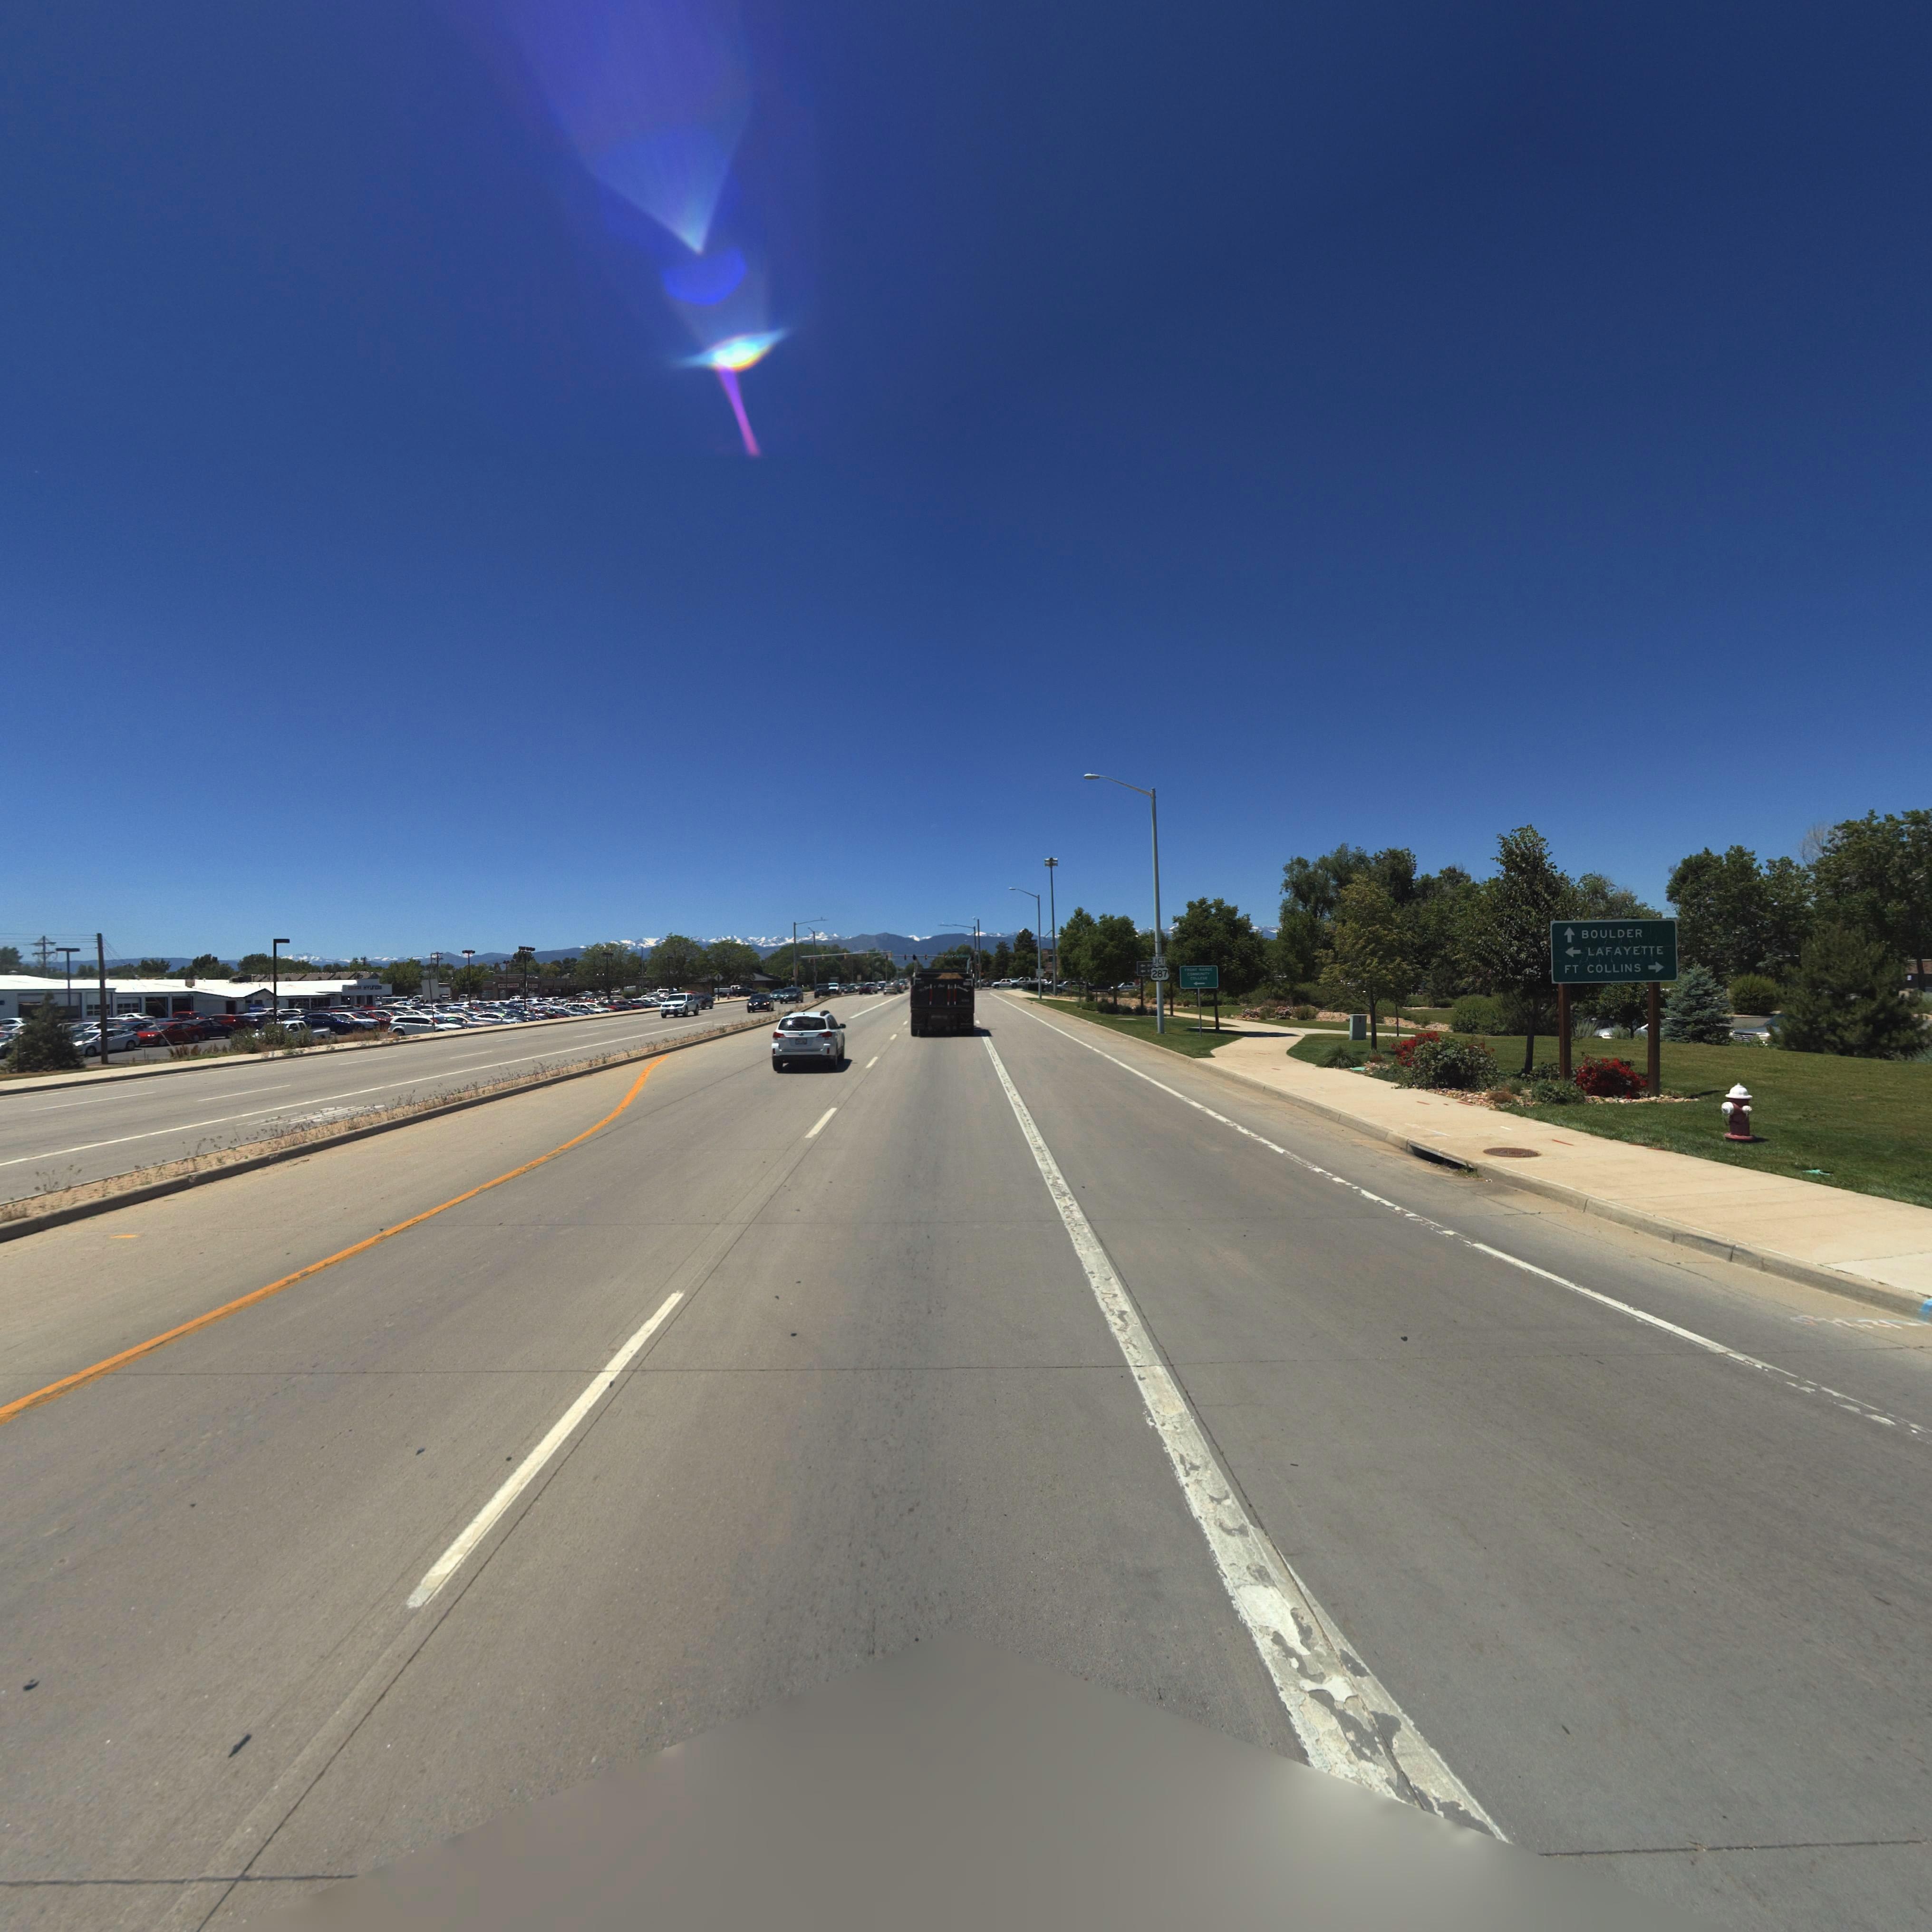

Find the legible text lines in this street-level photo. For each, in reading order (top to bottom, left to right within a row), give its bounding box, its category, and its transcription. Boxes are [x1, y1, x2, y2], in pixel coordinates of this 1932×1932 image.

[363, 985, 382, 990] BusinessName: H*U**A*